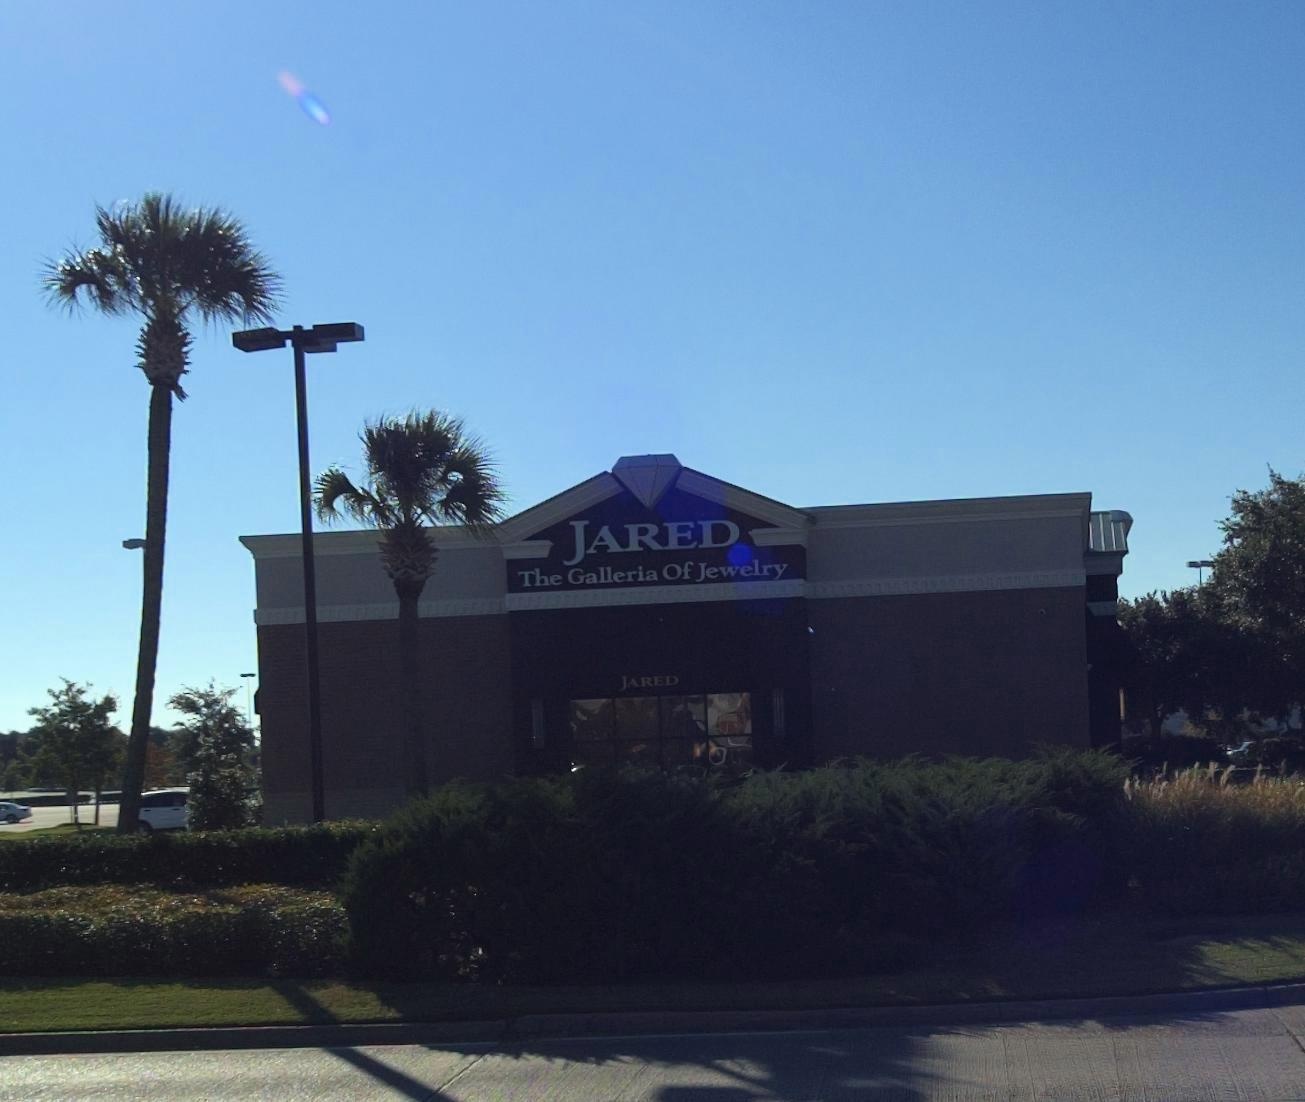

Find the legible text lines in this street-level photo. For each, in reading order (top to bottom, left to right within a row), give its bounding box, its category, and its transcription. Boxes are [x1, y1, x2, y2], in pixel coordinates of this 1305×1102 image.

[559, 516, 743, 569] BusinessName: JARED
[513, 556, 794, 590] None: The Galleria Of Jewelry
[615, 671, 683, 694] BusinessName: JARED